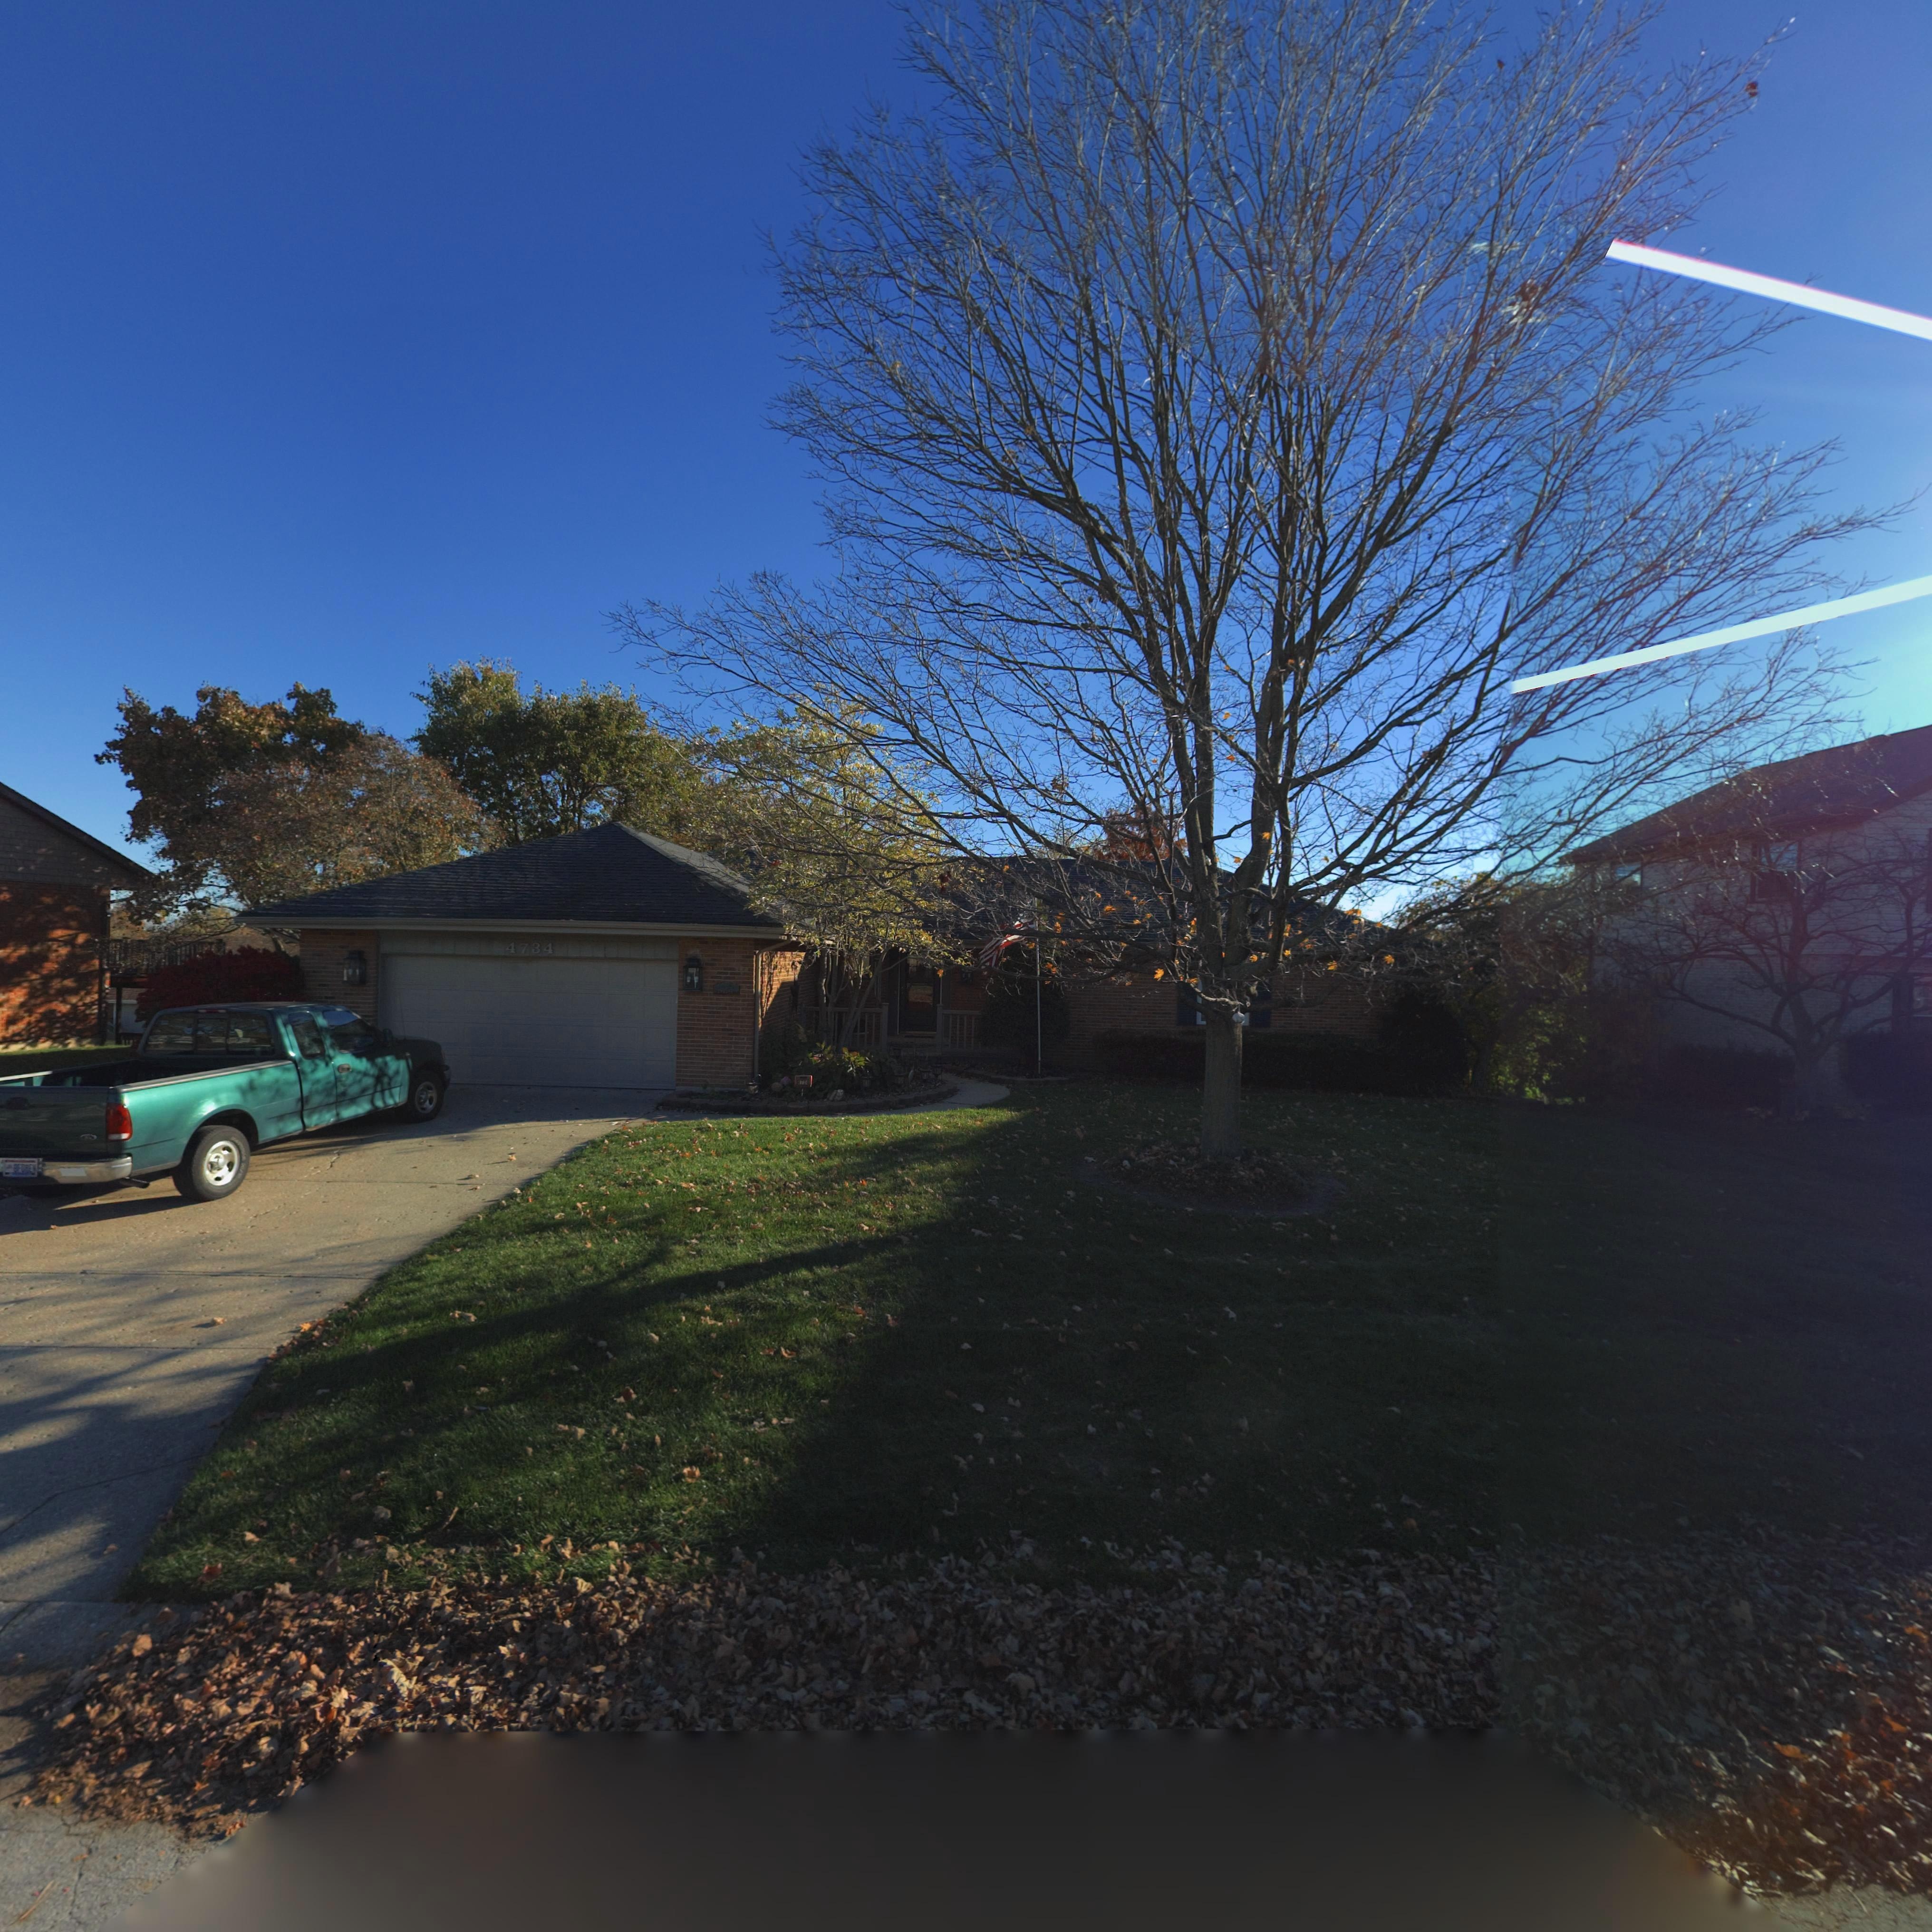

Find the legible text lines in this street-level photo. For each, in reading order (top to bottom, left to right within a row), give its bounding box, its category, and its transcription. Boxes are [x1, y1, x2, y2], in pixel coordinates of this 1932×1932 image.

[504, 941, 554, 955] StreetNumber: 4734
[796, 1080, 810, 1086] StreetNumber: *7**